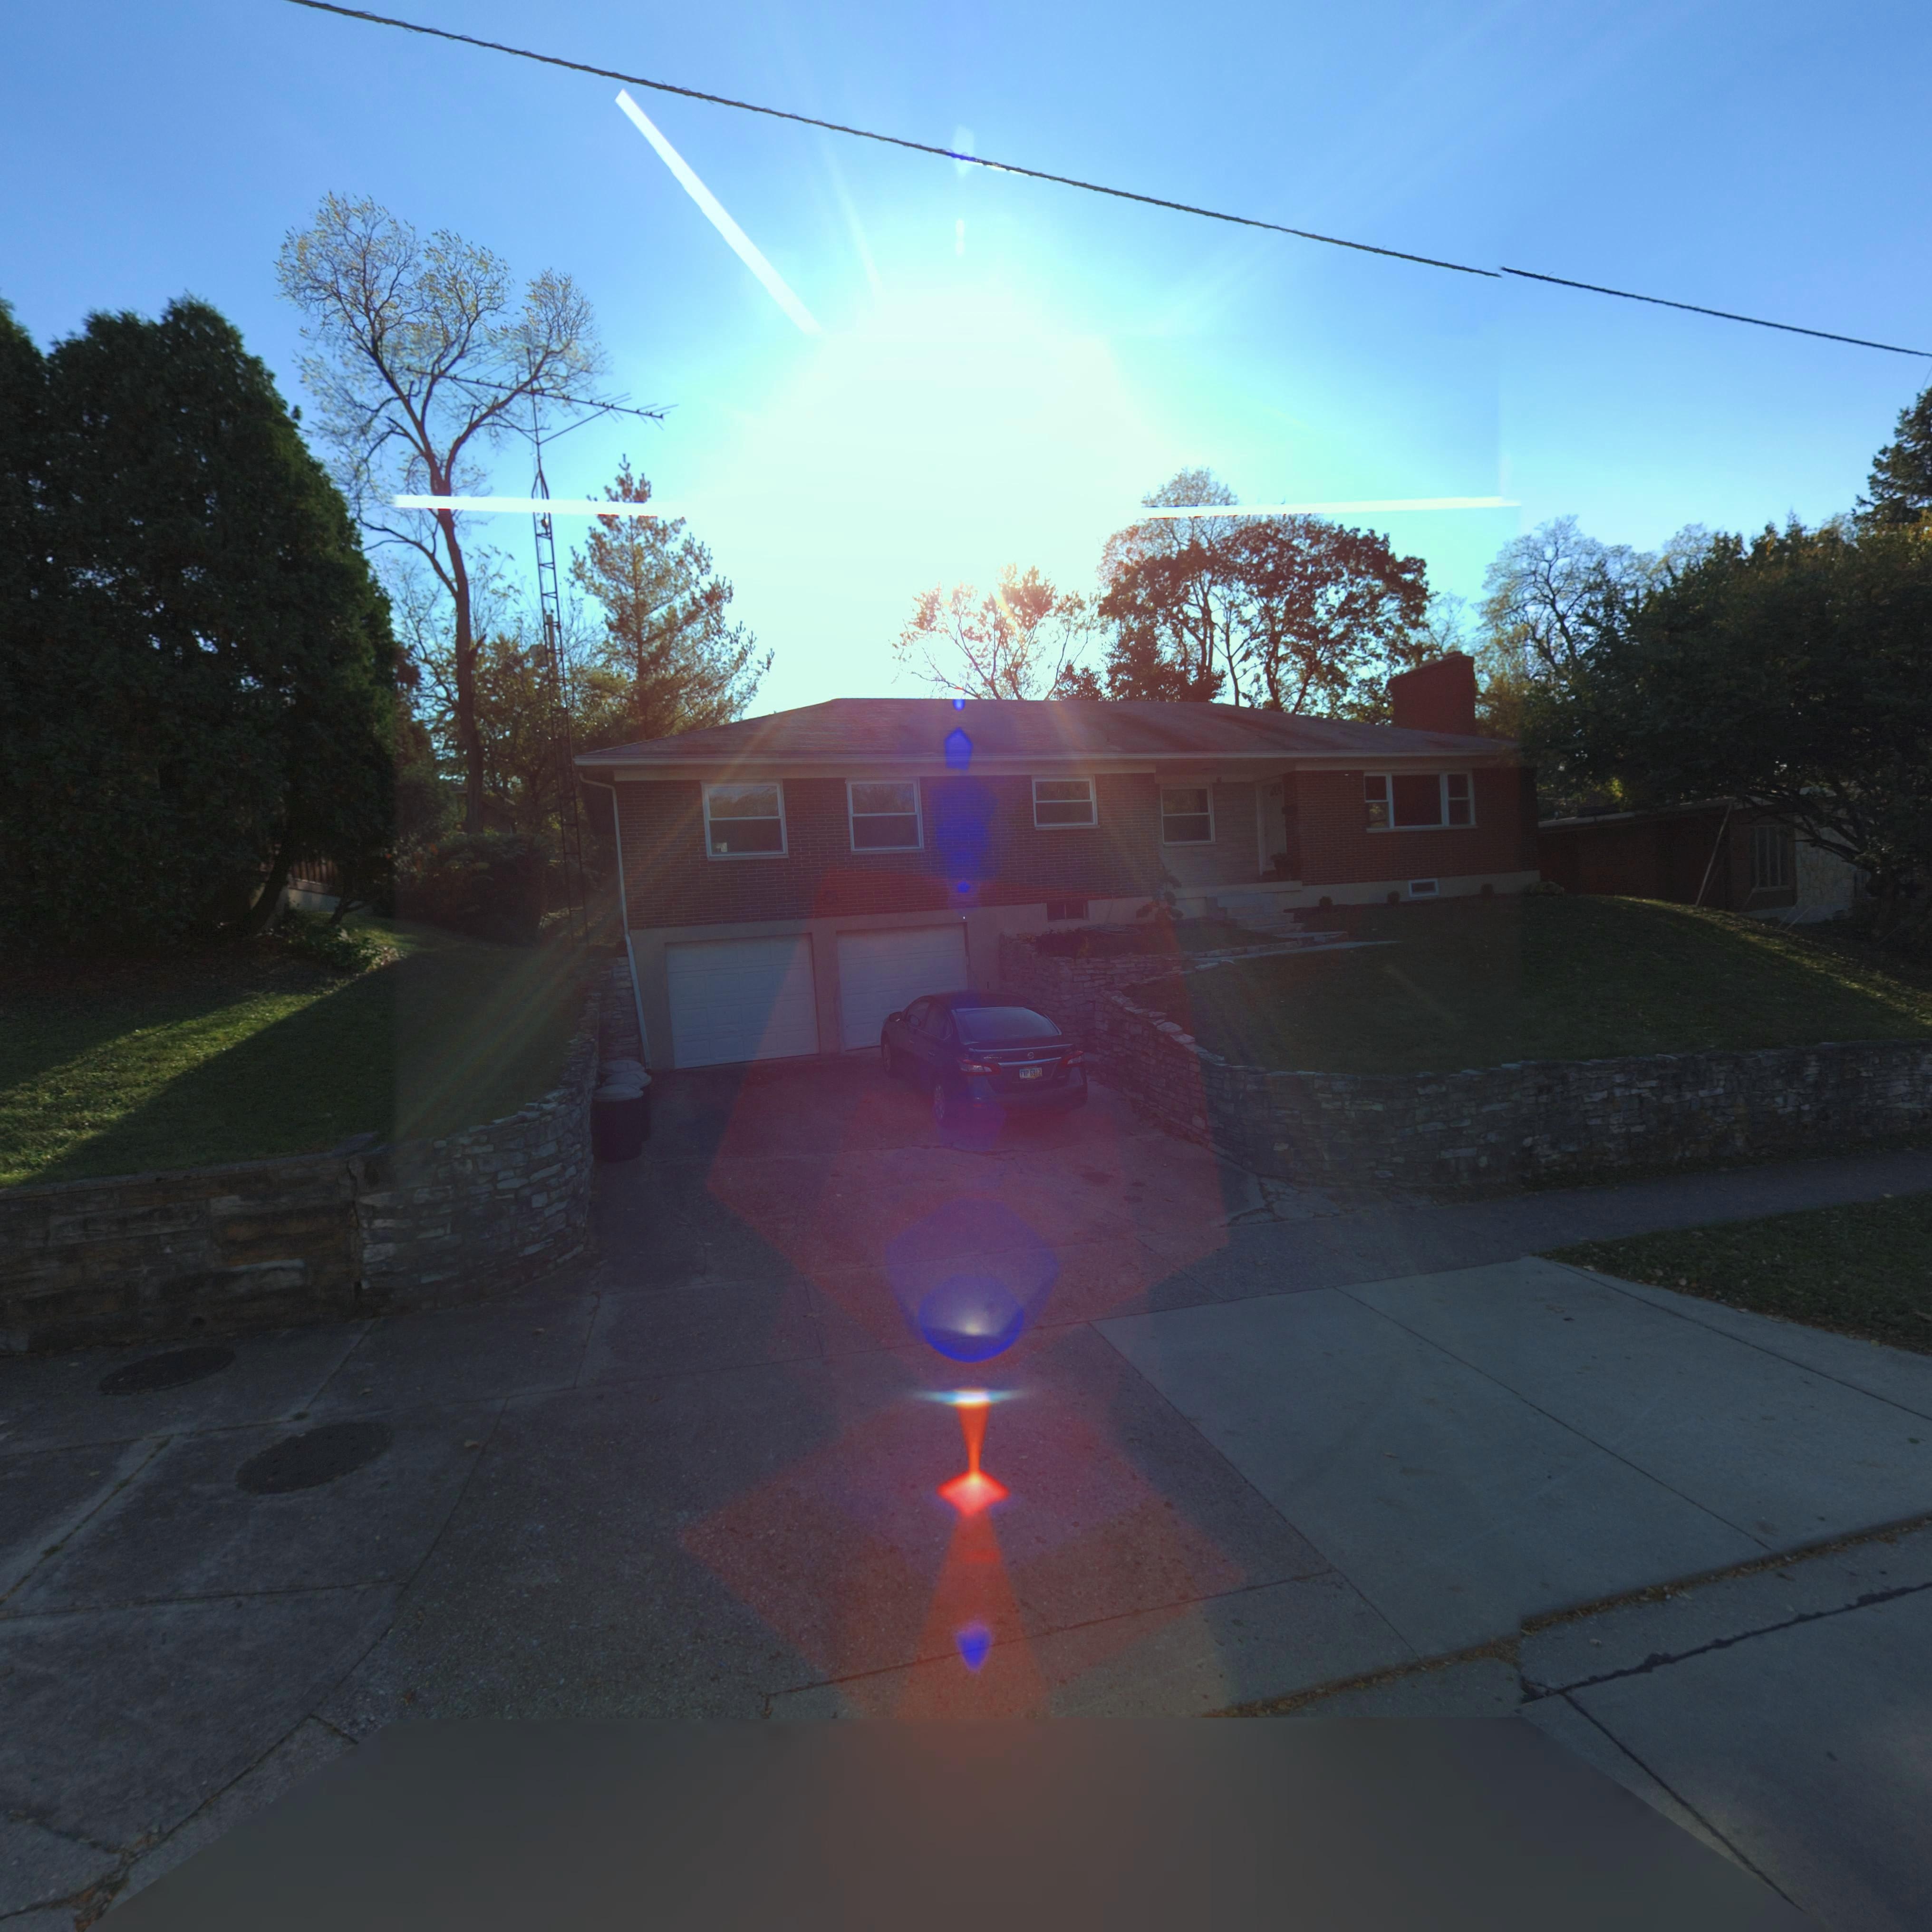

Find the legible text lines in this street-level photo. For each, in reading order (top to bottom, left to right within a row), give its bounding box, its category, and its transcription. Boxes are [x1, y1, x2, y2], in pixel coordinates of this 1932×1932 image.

[1216, 776, 1222, 783] StreetNumber: 1*